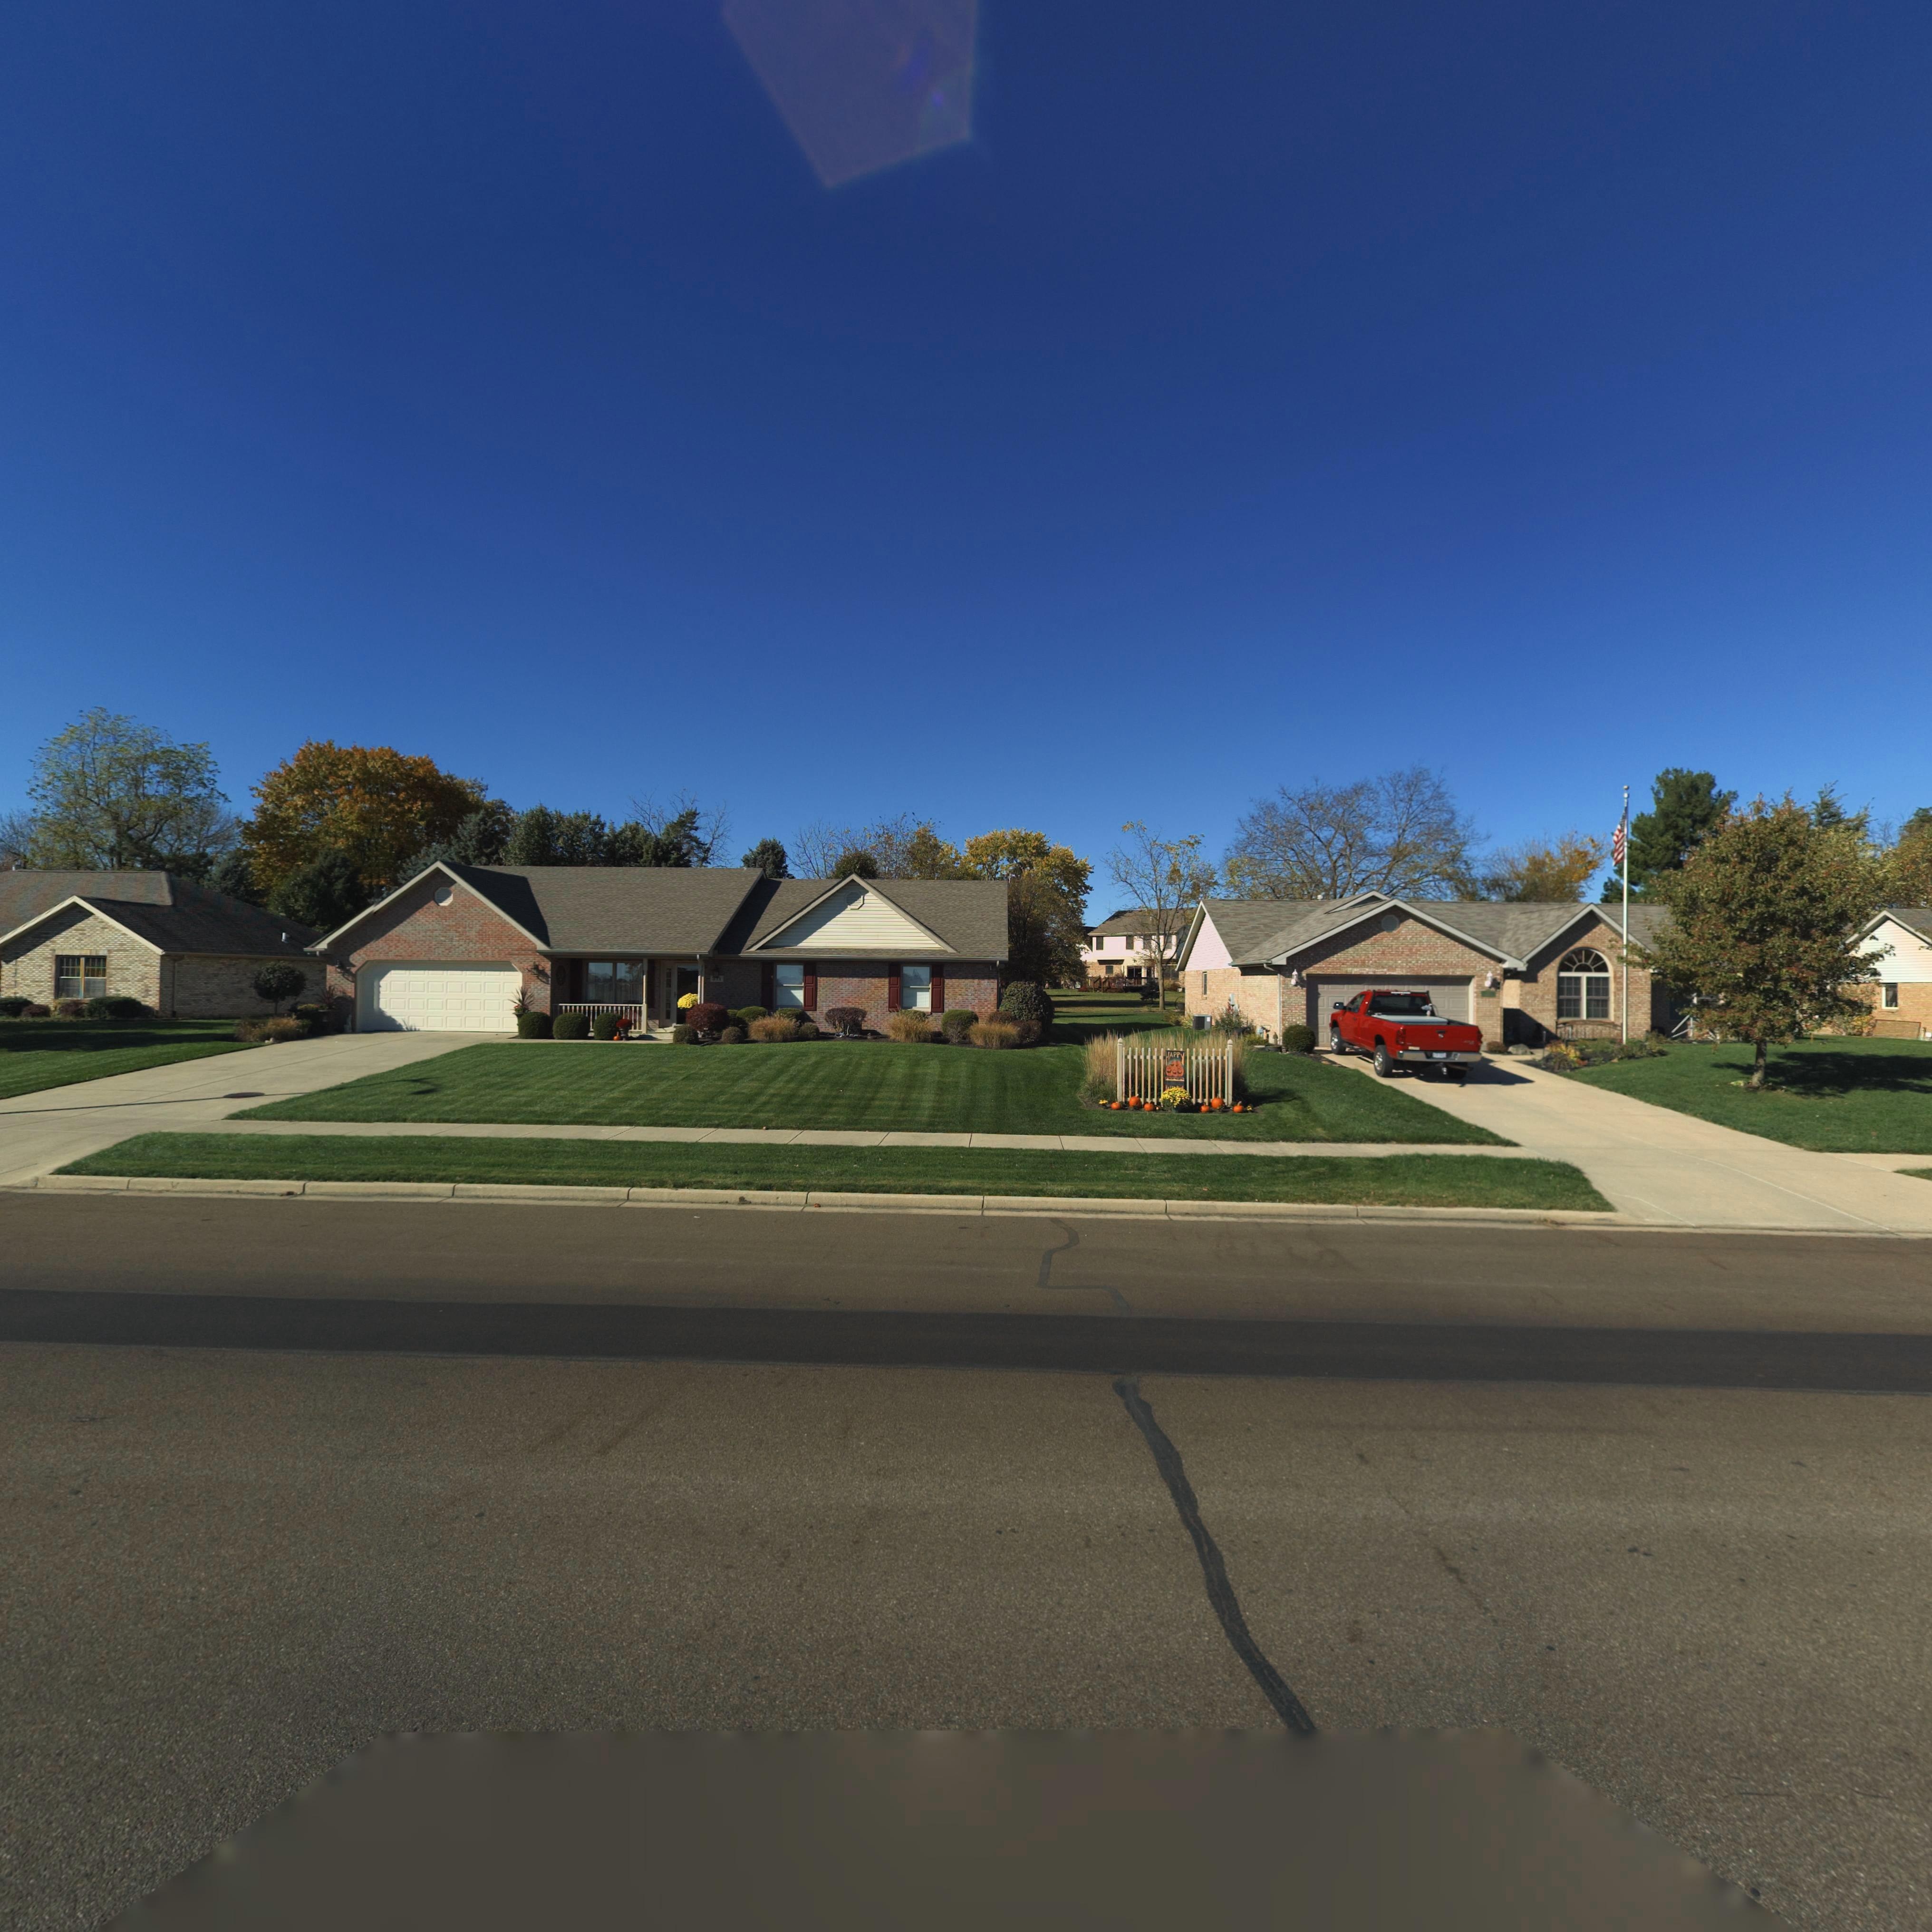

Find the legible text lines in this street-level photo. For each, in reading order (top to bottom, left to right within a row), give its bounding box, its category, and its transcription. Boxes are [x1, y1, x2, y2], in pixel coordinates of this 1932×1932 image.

[712, 976, 721, 981] StreetNumber: *71